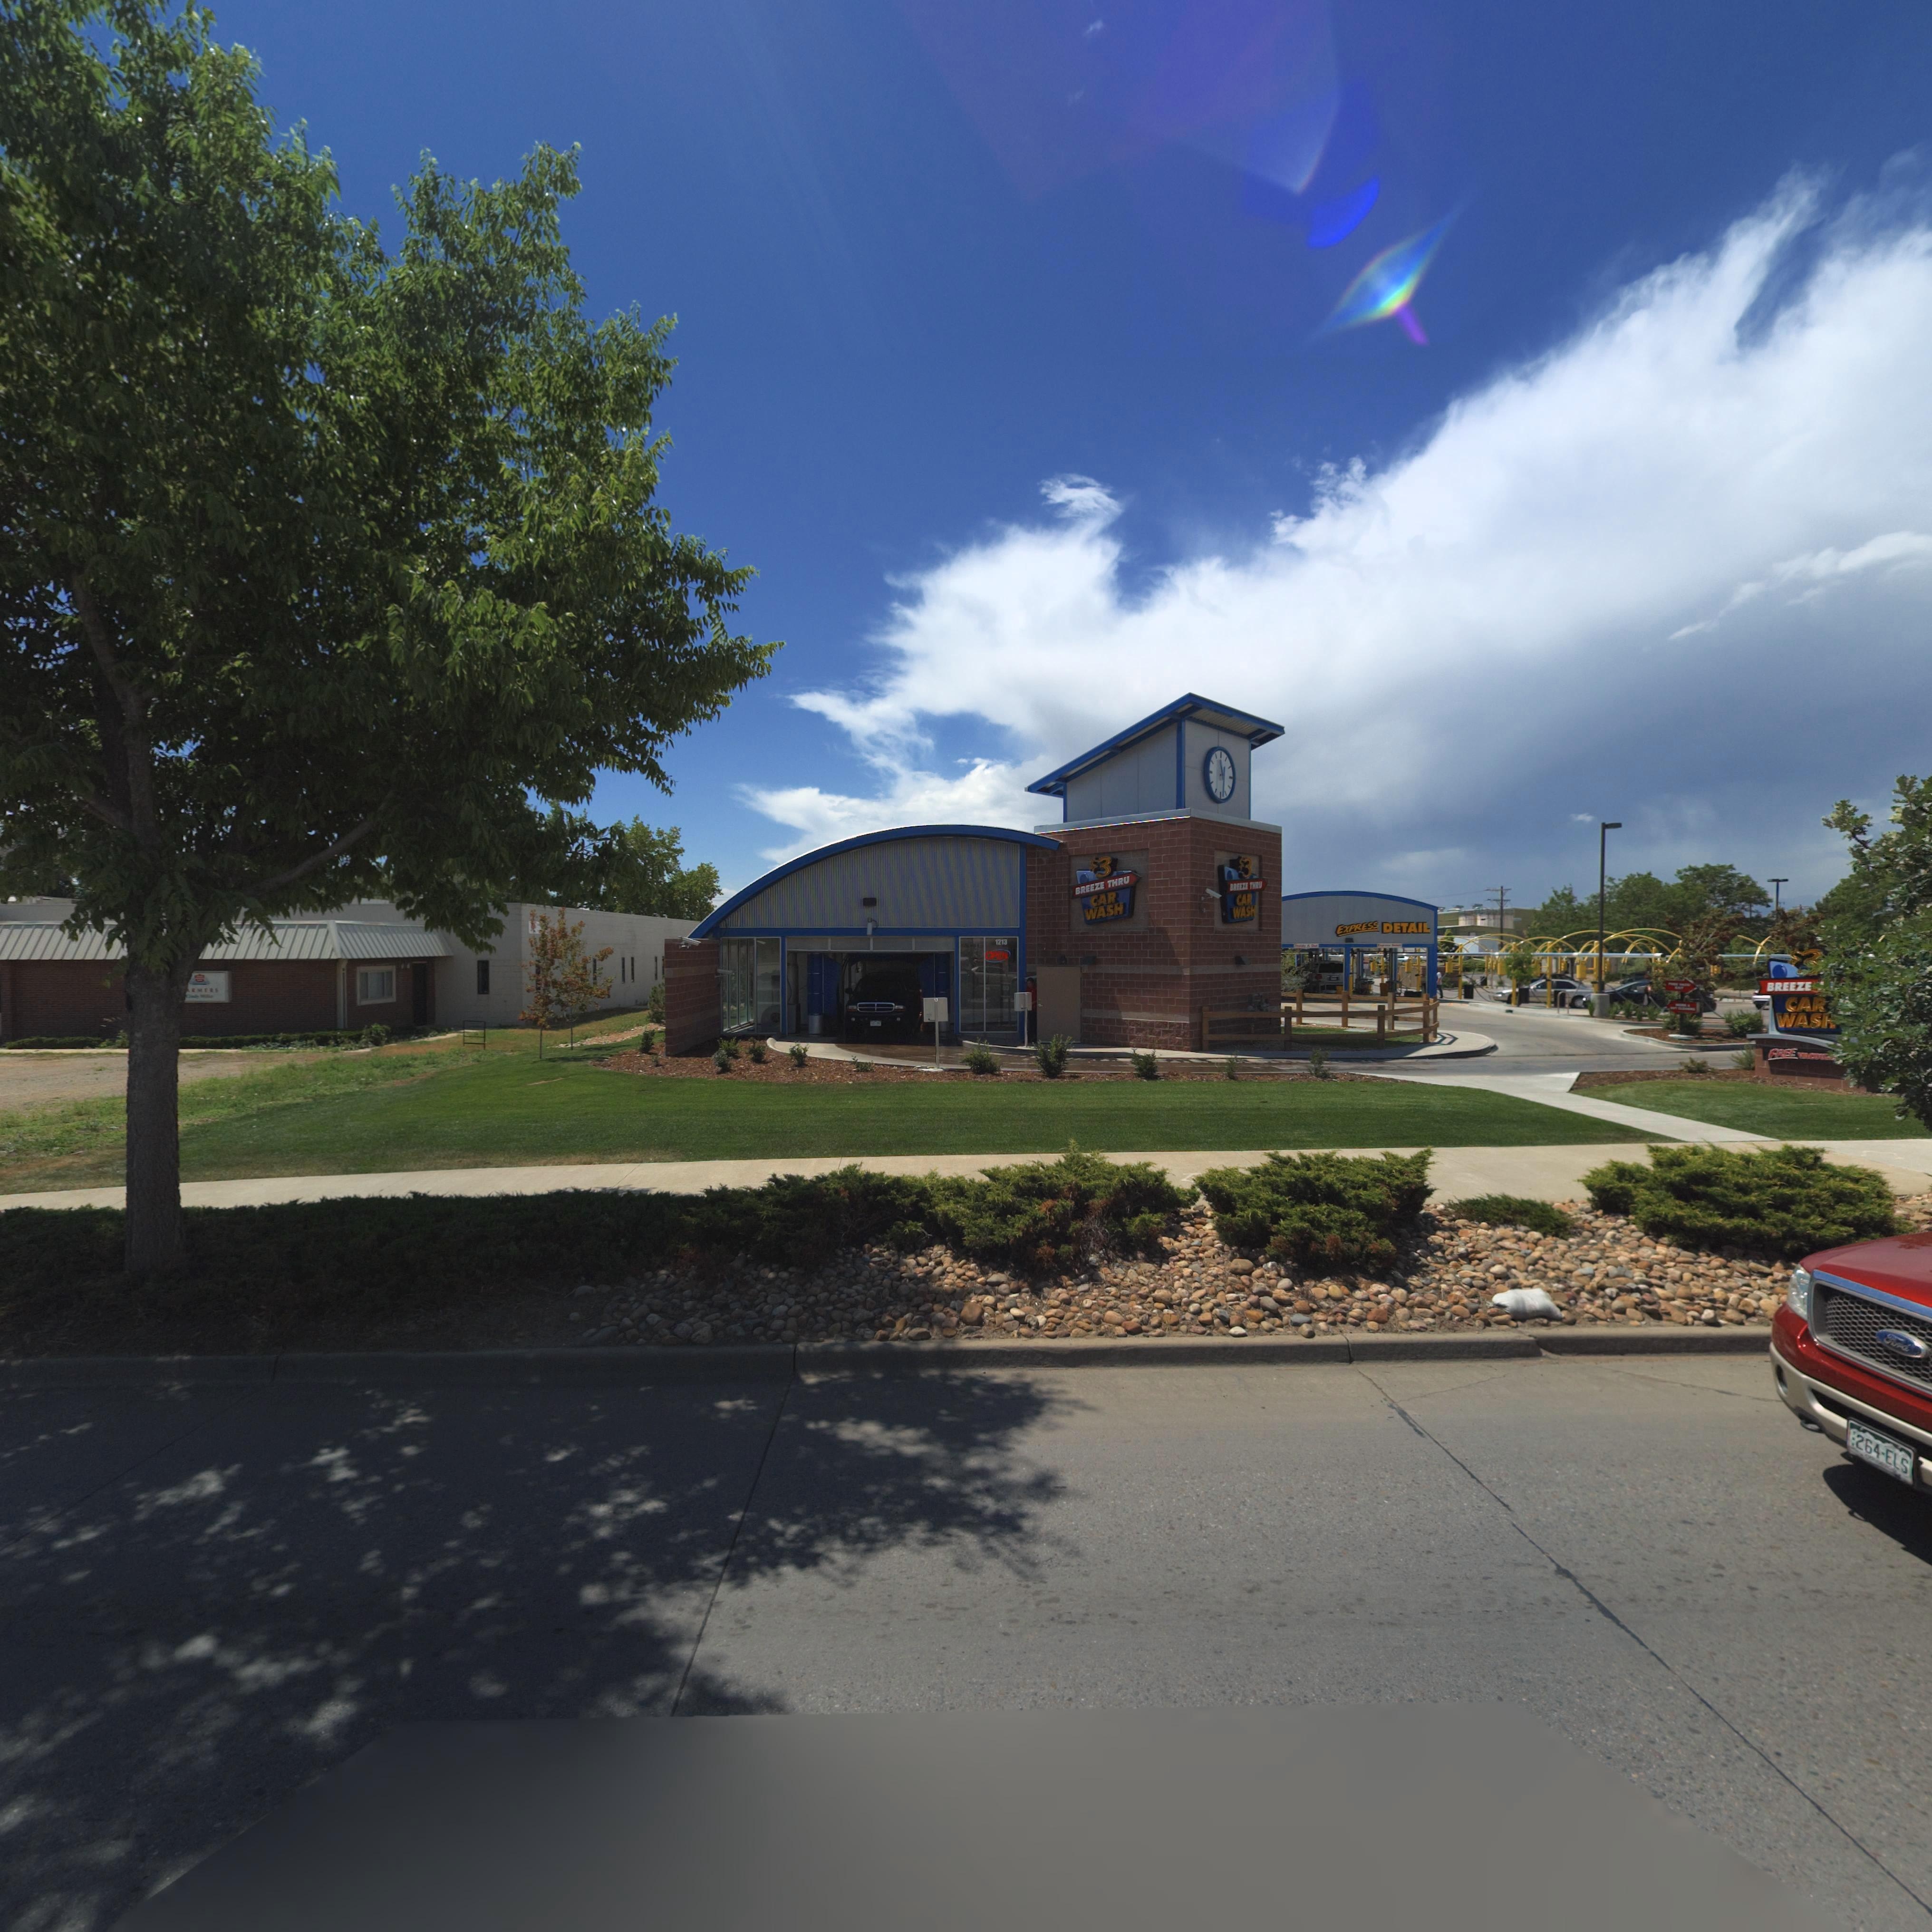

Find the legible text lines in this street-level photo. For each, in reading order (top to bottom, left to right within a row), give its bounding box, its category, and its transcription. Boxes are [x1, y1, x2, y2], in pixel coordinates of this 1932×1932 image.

[1075, 876, 1130, 895] BusinessName: BREEZE THRU
[1230, 881, 1263, 891] BusinessName: BREEZE THRU
[1090, 891, 1116, 906] BusinessName: CAR
[1236, 893, 1252, 906] BusinessName: CAR
[1084, 902, 1123, 920] BusinessName: WASH
[1232, 905, 1256, 918] BusinessName: WASH
[1335, 920, 1379, 934] BusinessName: EXPRESS
[1382, 922, 1430, 933] BusinessName: DETAIL
[995, 938, 1007, 945] StreetNumber: 1213
[192, 988, 218, 993] BusinessName: RMERS
[1766, 981, 1812, 992] BusinessName: BREEZE
[1785, 996, 1826, 1012] BusinessName: CAR
[1775, 1012, 1822, 1028] BusinessName: WAS